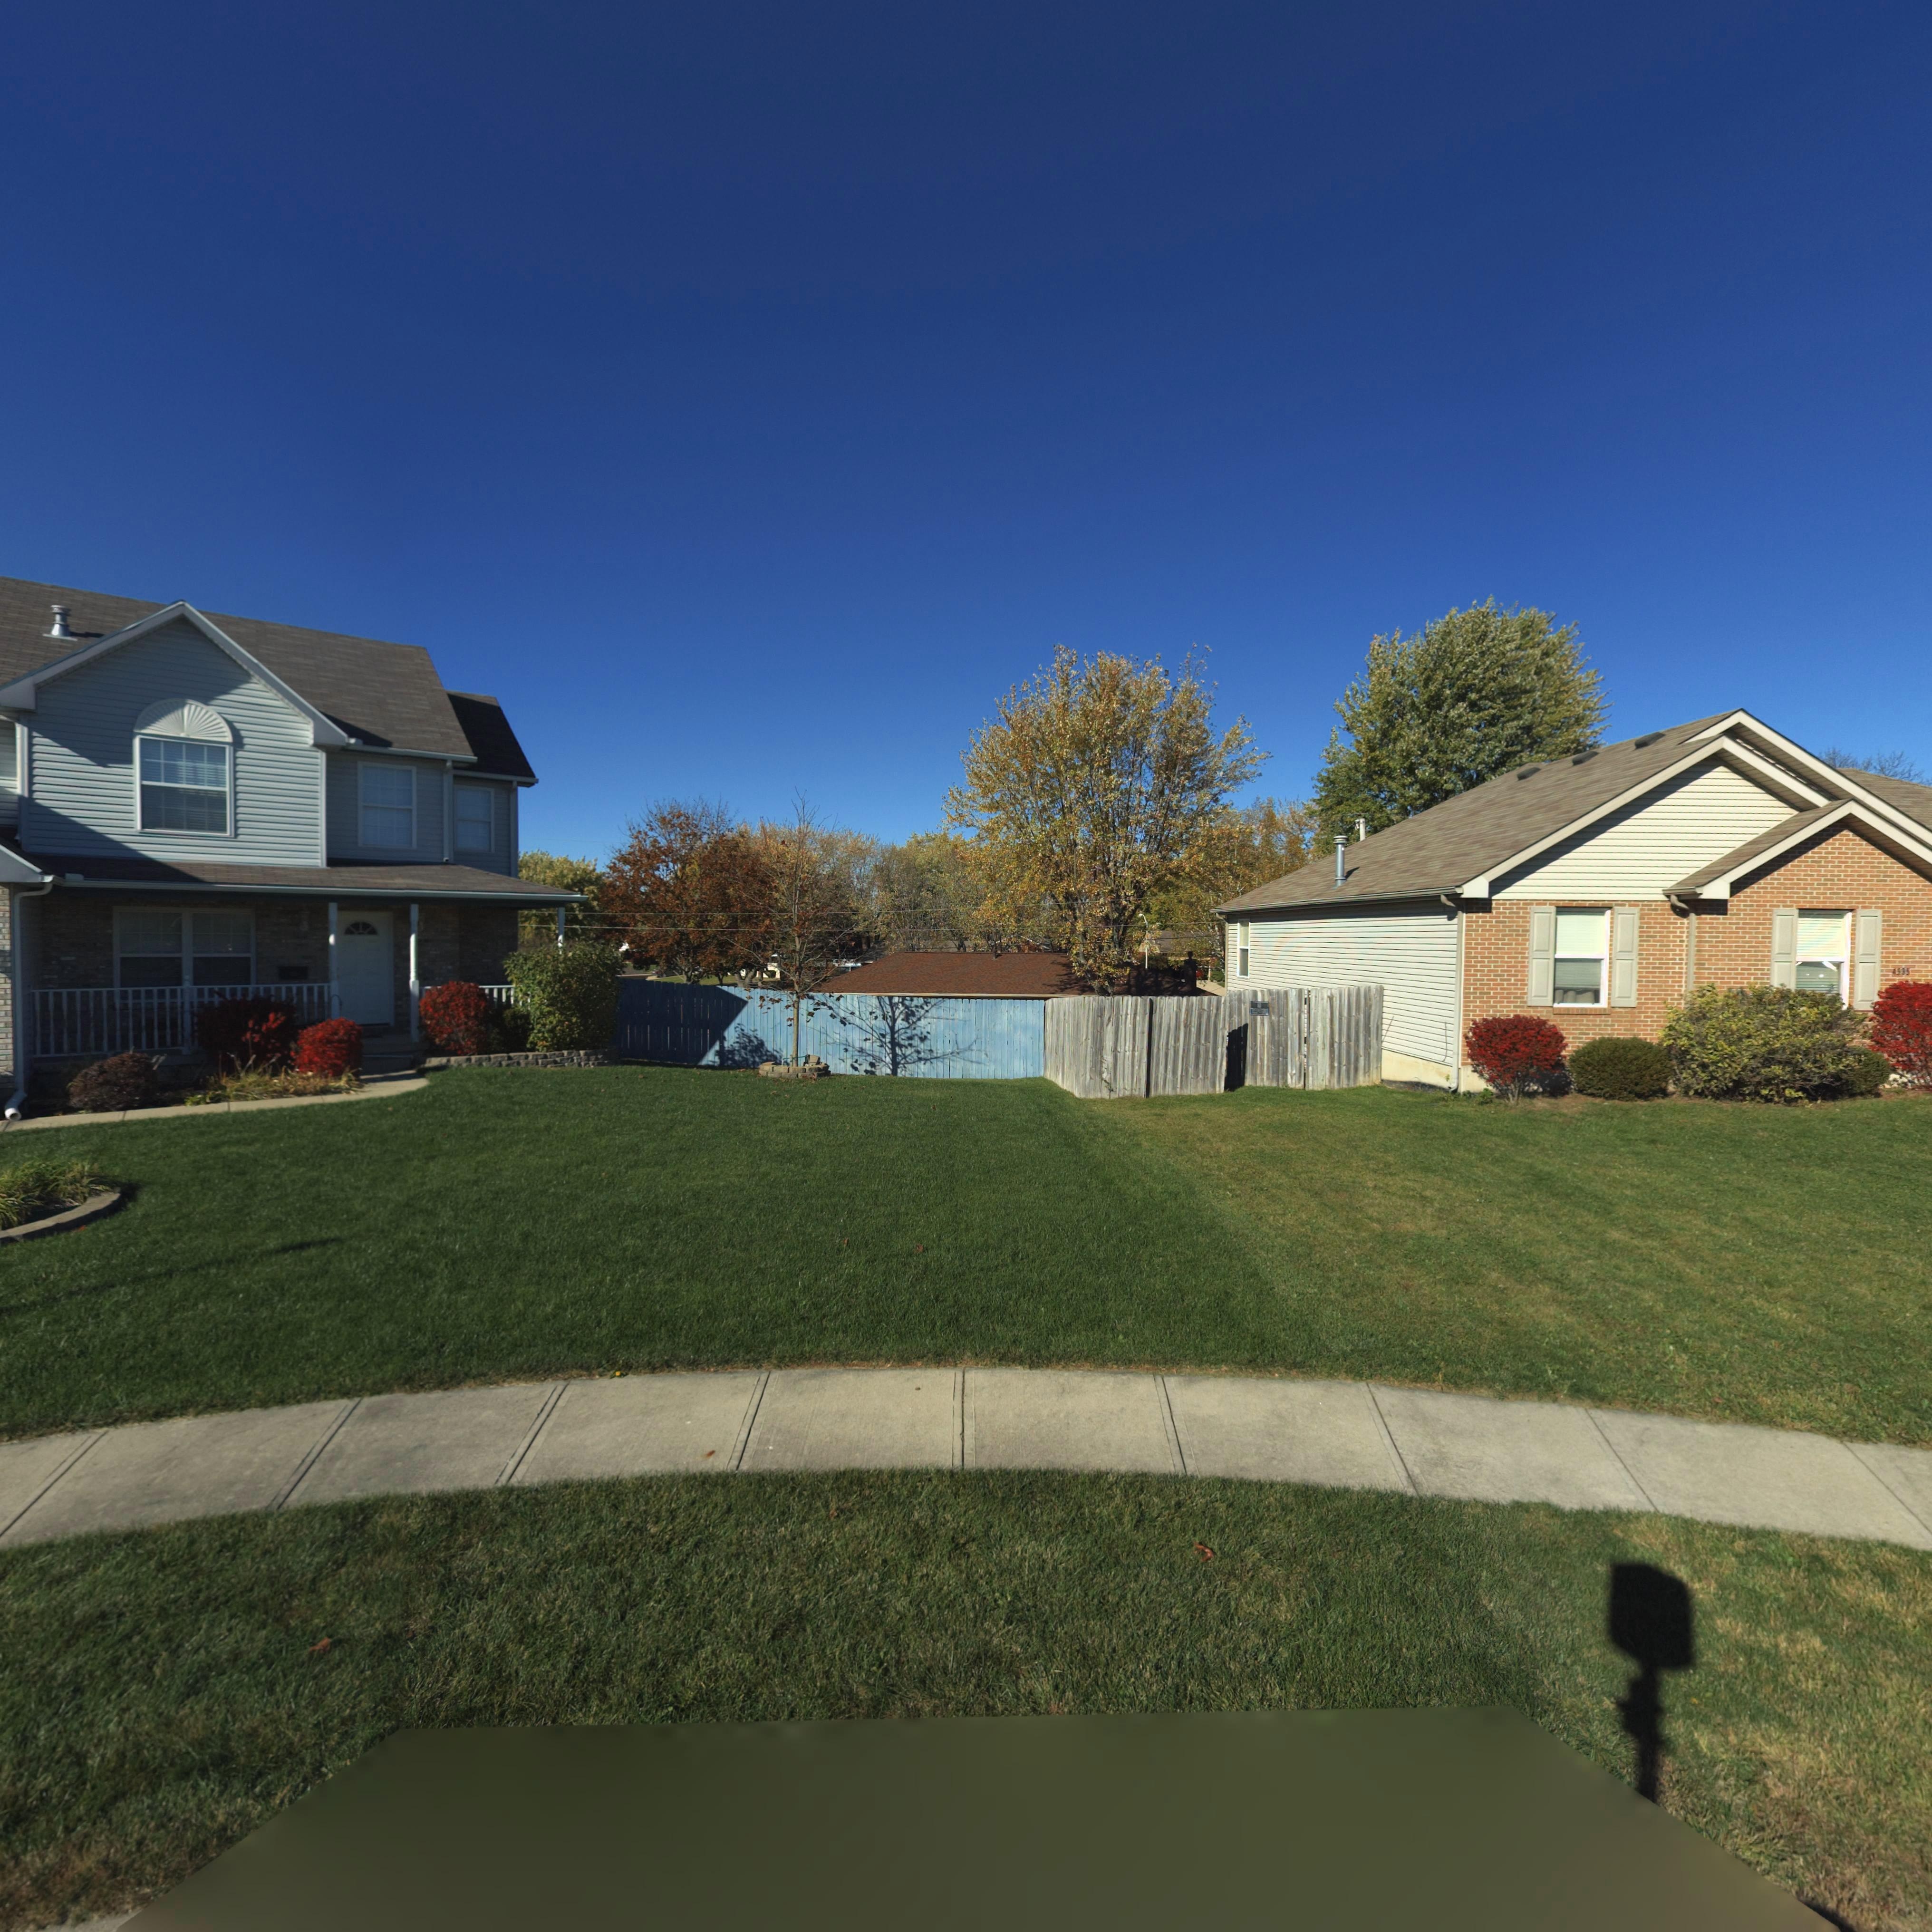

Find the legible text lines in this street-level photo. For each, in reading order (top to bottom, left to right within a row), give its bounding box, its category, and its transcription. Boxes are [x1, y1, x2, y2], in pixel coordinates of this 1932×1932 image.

[1890, 966, 1912, 977] StreetNumber: 45*5